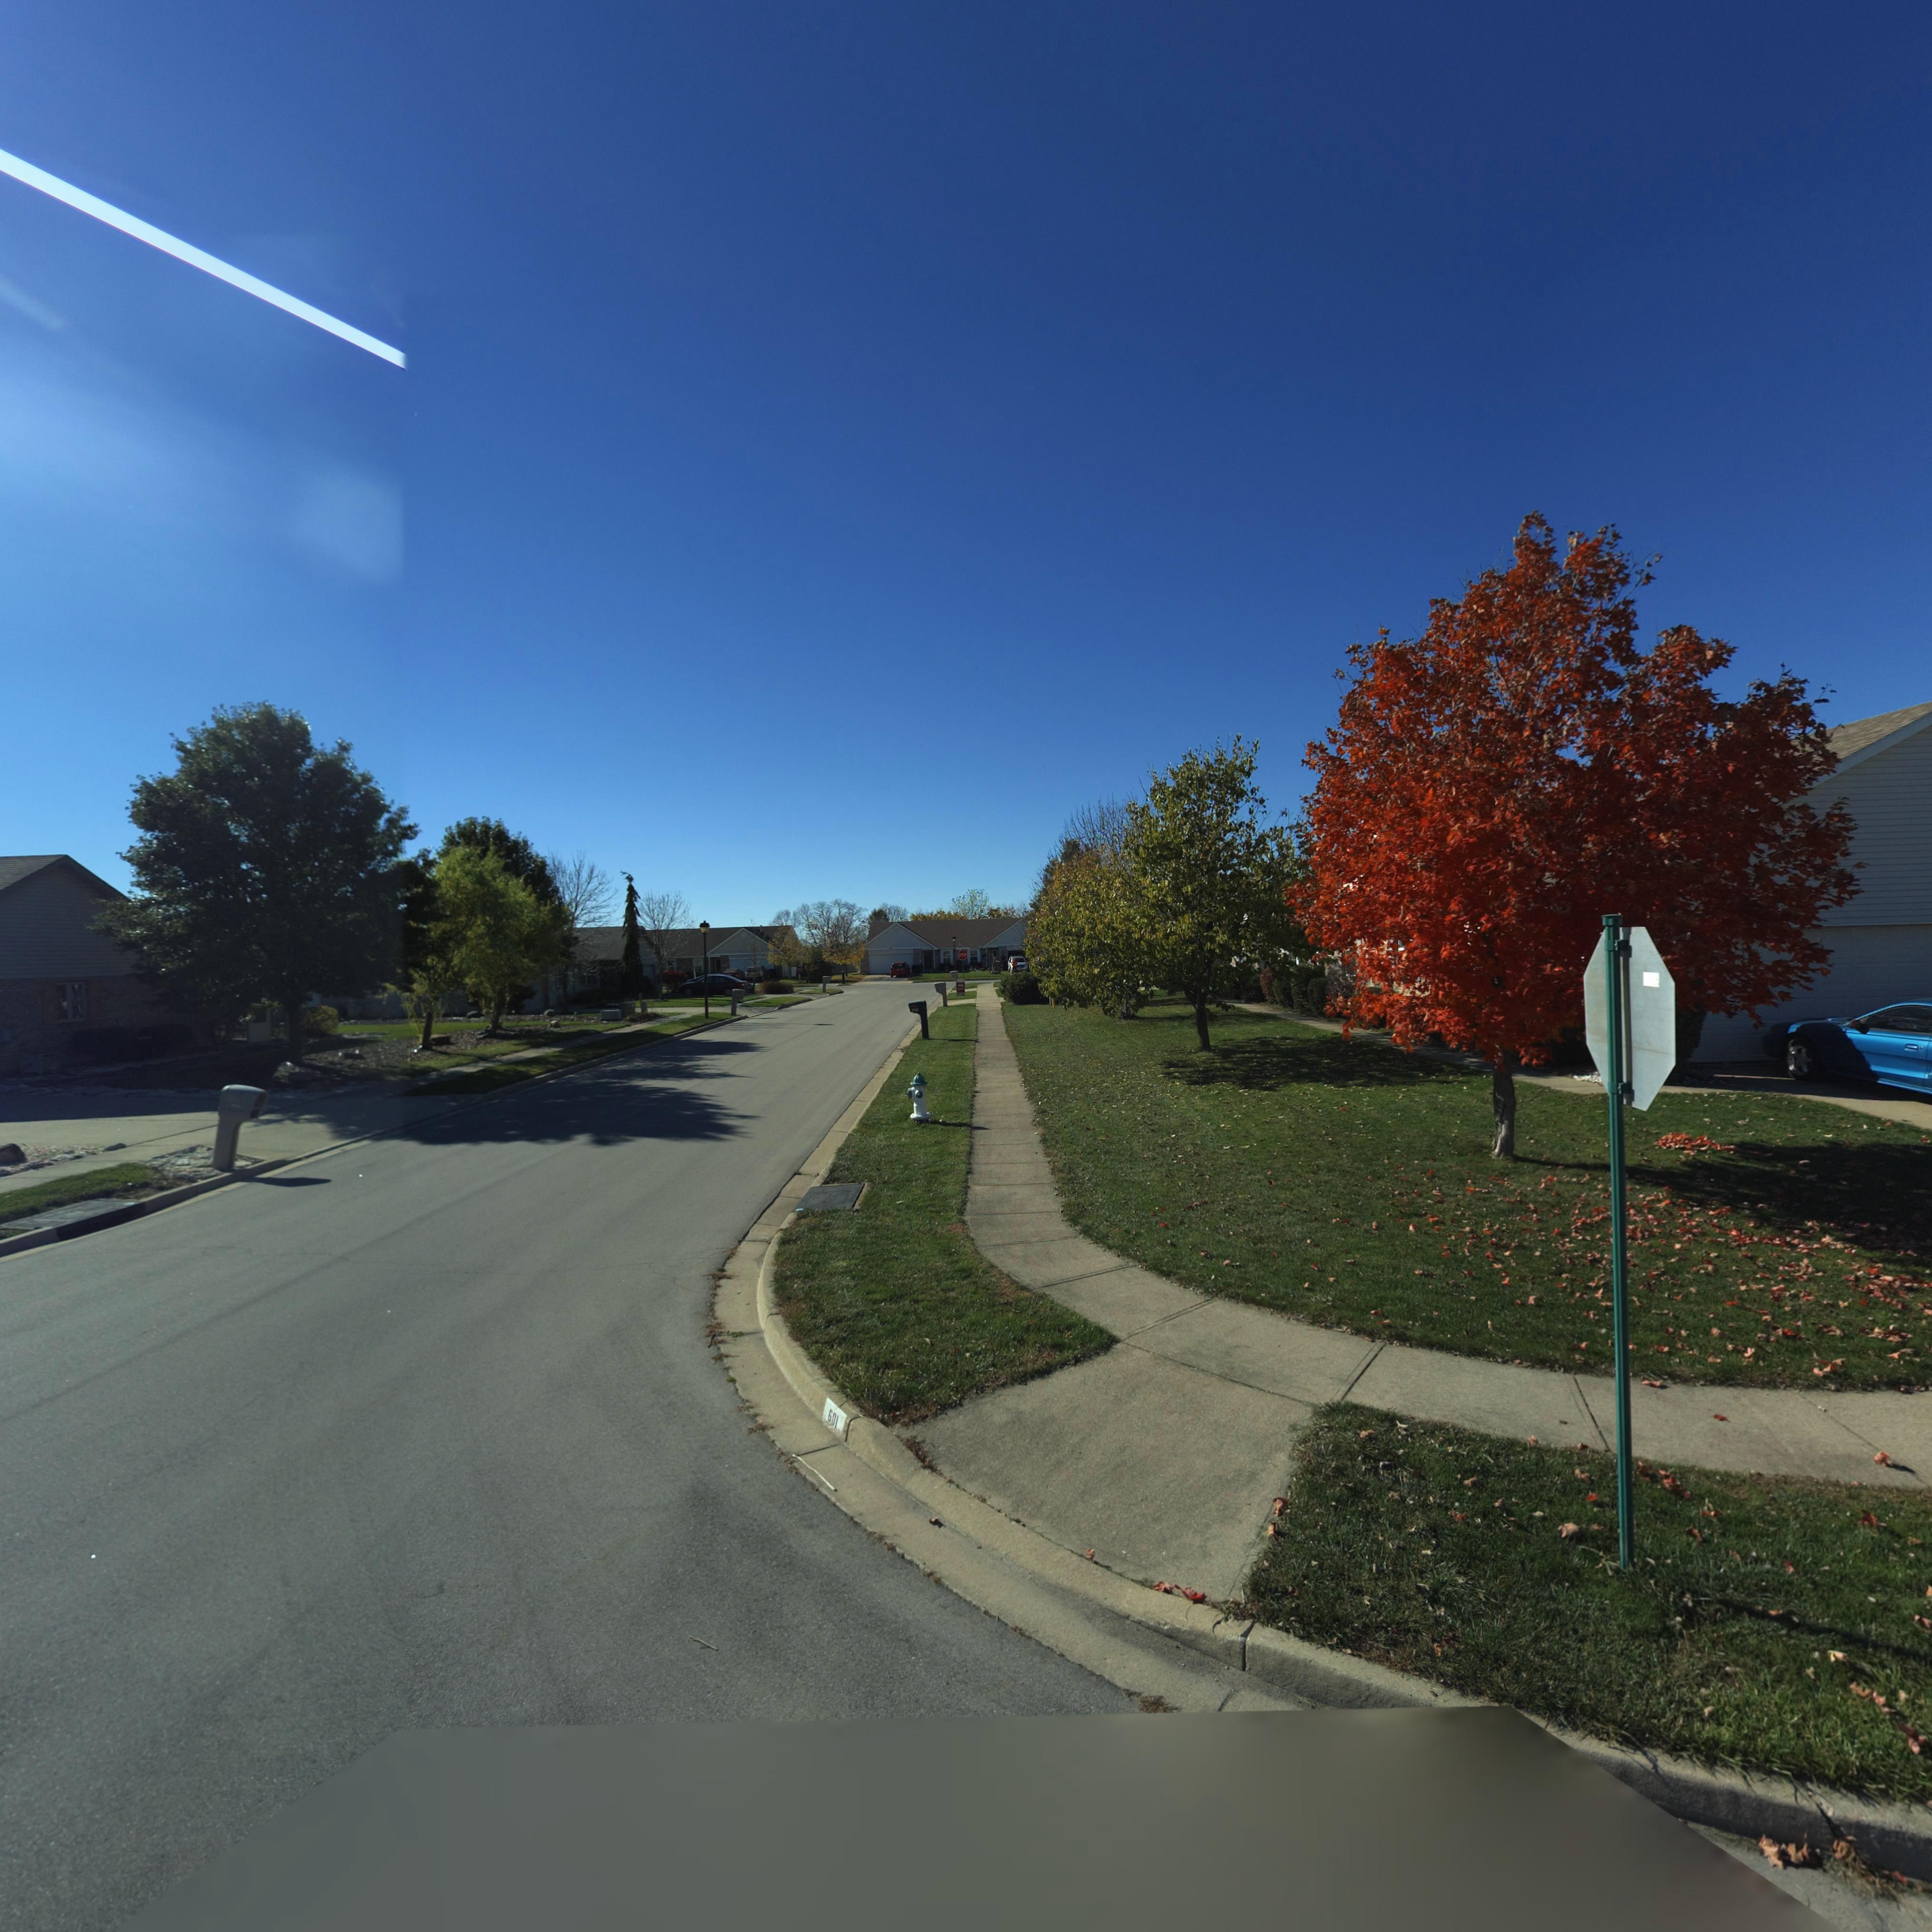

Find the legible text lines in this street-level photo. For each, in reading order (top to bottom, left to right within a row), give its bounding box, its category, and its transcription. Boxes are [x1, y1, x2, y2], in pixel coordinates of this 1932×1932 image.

[826, 1407, 840, 1430] StreetNumber: 601